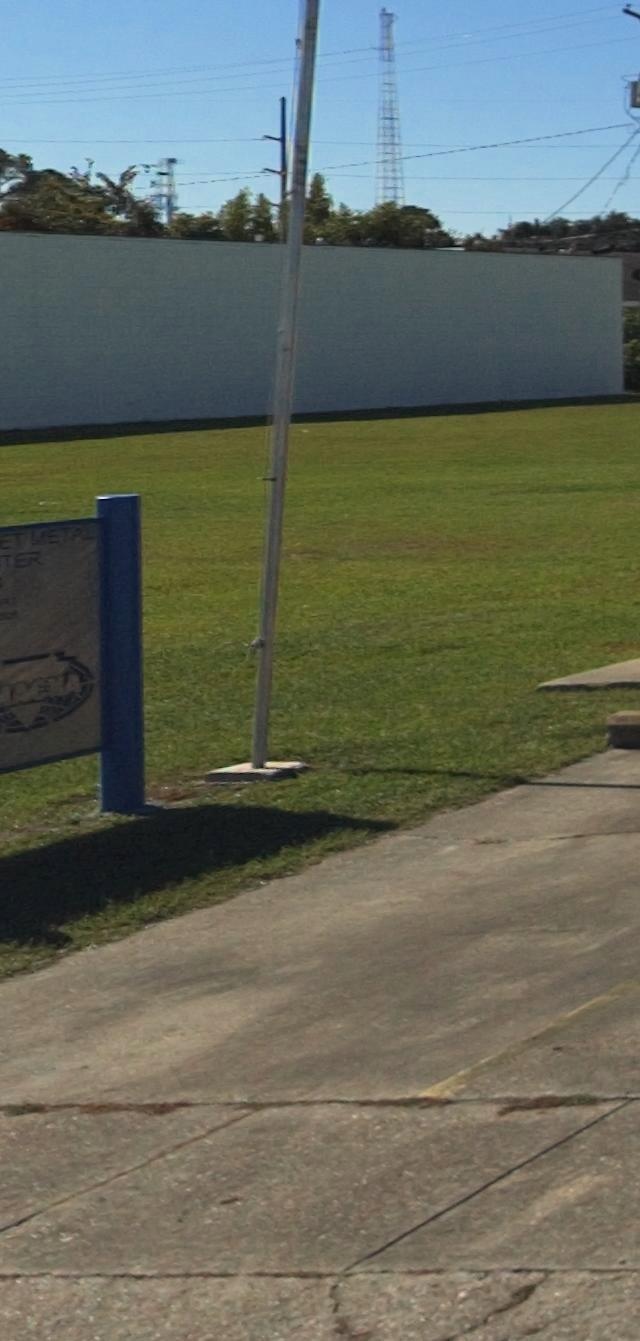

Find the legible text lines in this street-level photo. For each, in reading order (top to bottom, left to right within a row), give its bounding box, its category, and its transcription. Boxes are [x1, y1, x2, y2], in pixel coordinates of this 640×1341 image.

[0, 522, 97, 552] BusinessName: ET METAL
[2, 548, 46, 572] BusinessName: TER
[10, 670, 86, 709] None: AE*A